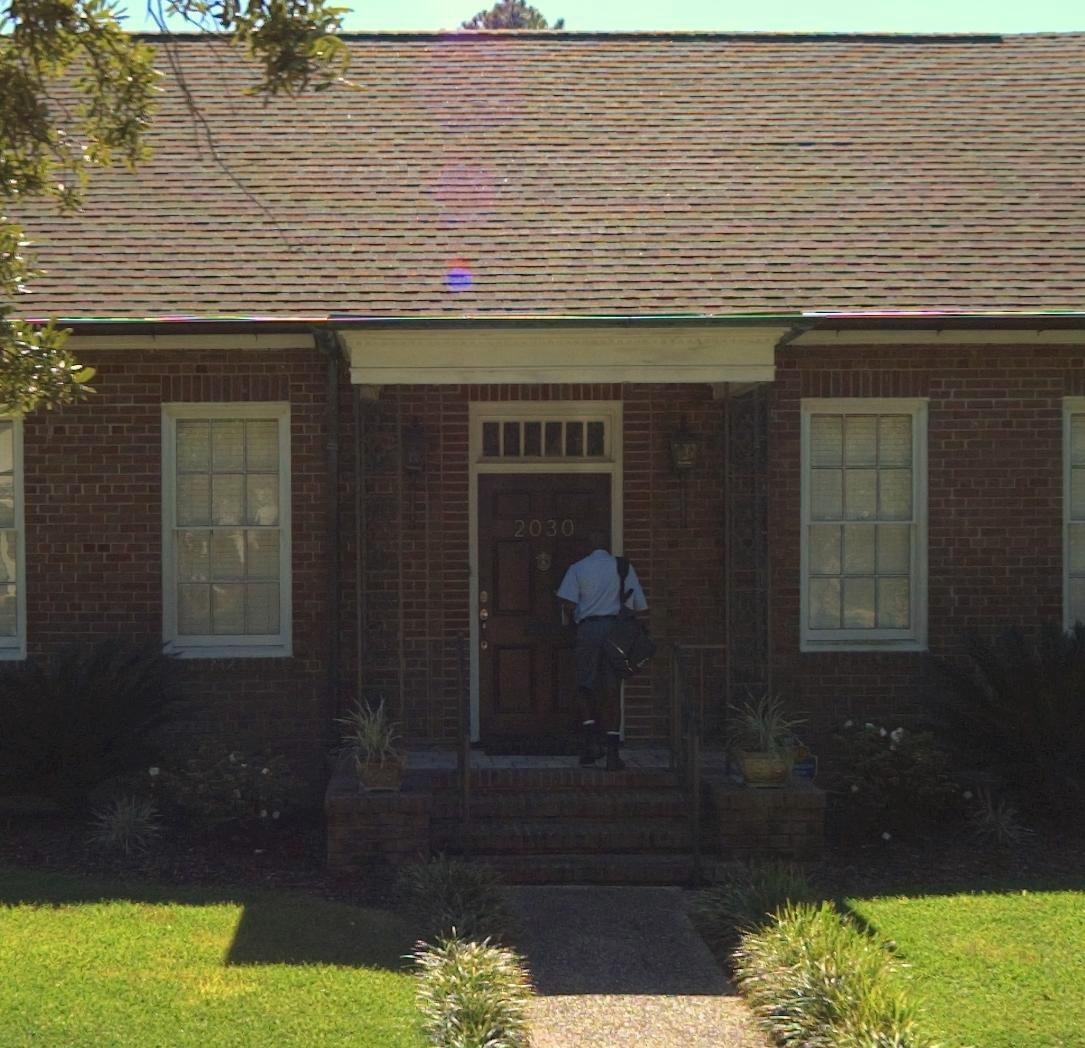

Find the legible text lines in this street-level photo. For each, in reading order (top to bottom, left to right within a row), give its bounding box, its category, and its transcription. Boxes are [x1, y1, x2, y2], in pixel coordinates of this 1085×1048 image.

[513, 517, 576, 540] StreetNumber: 2030